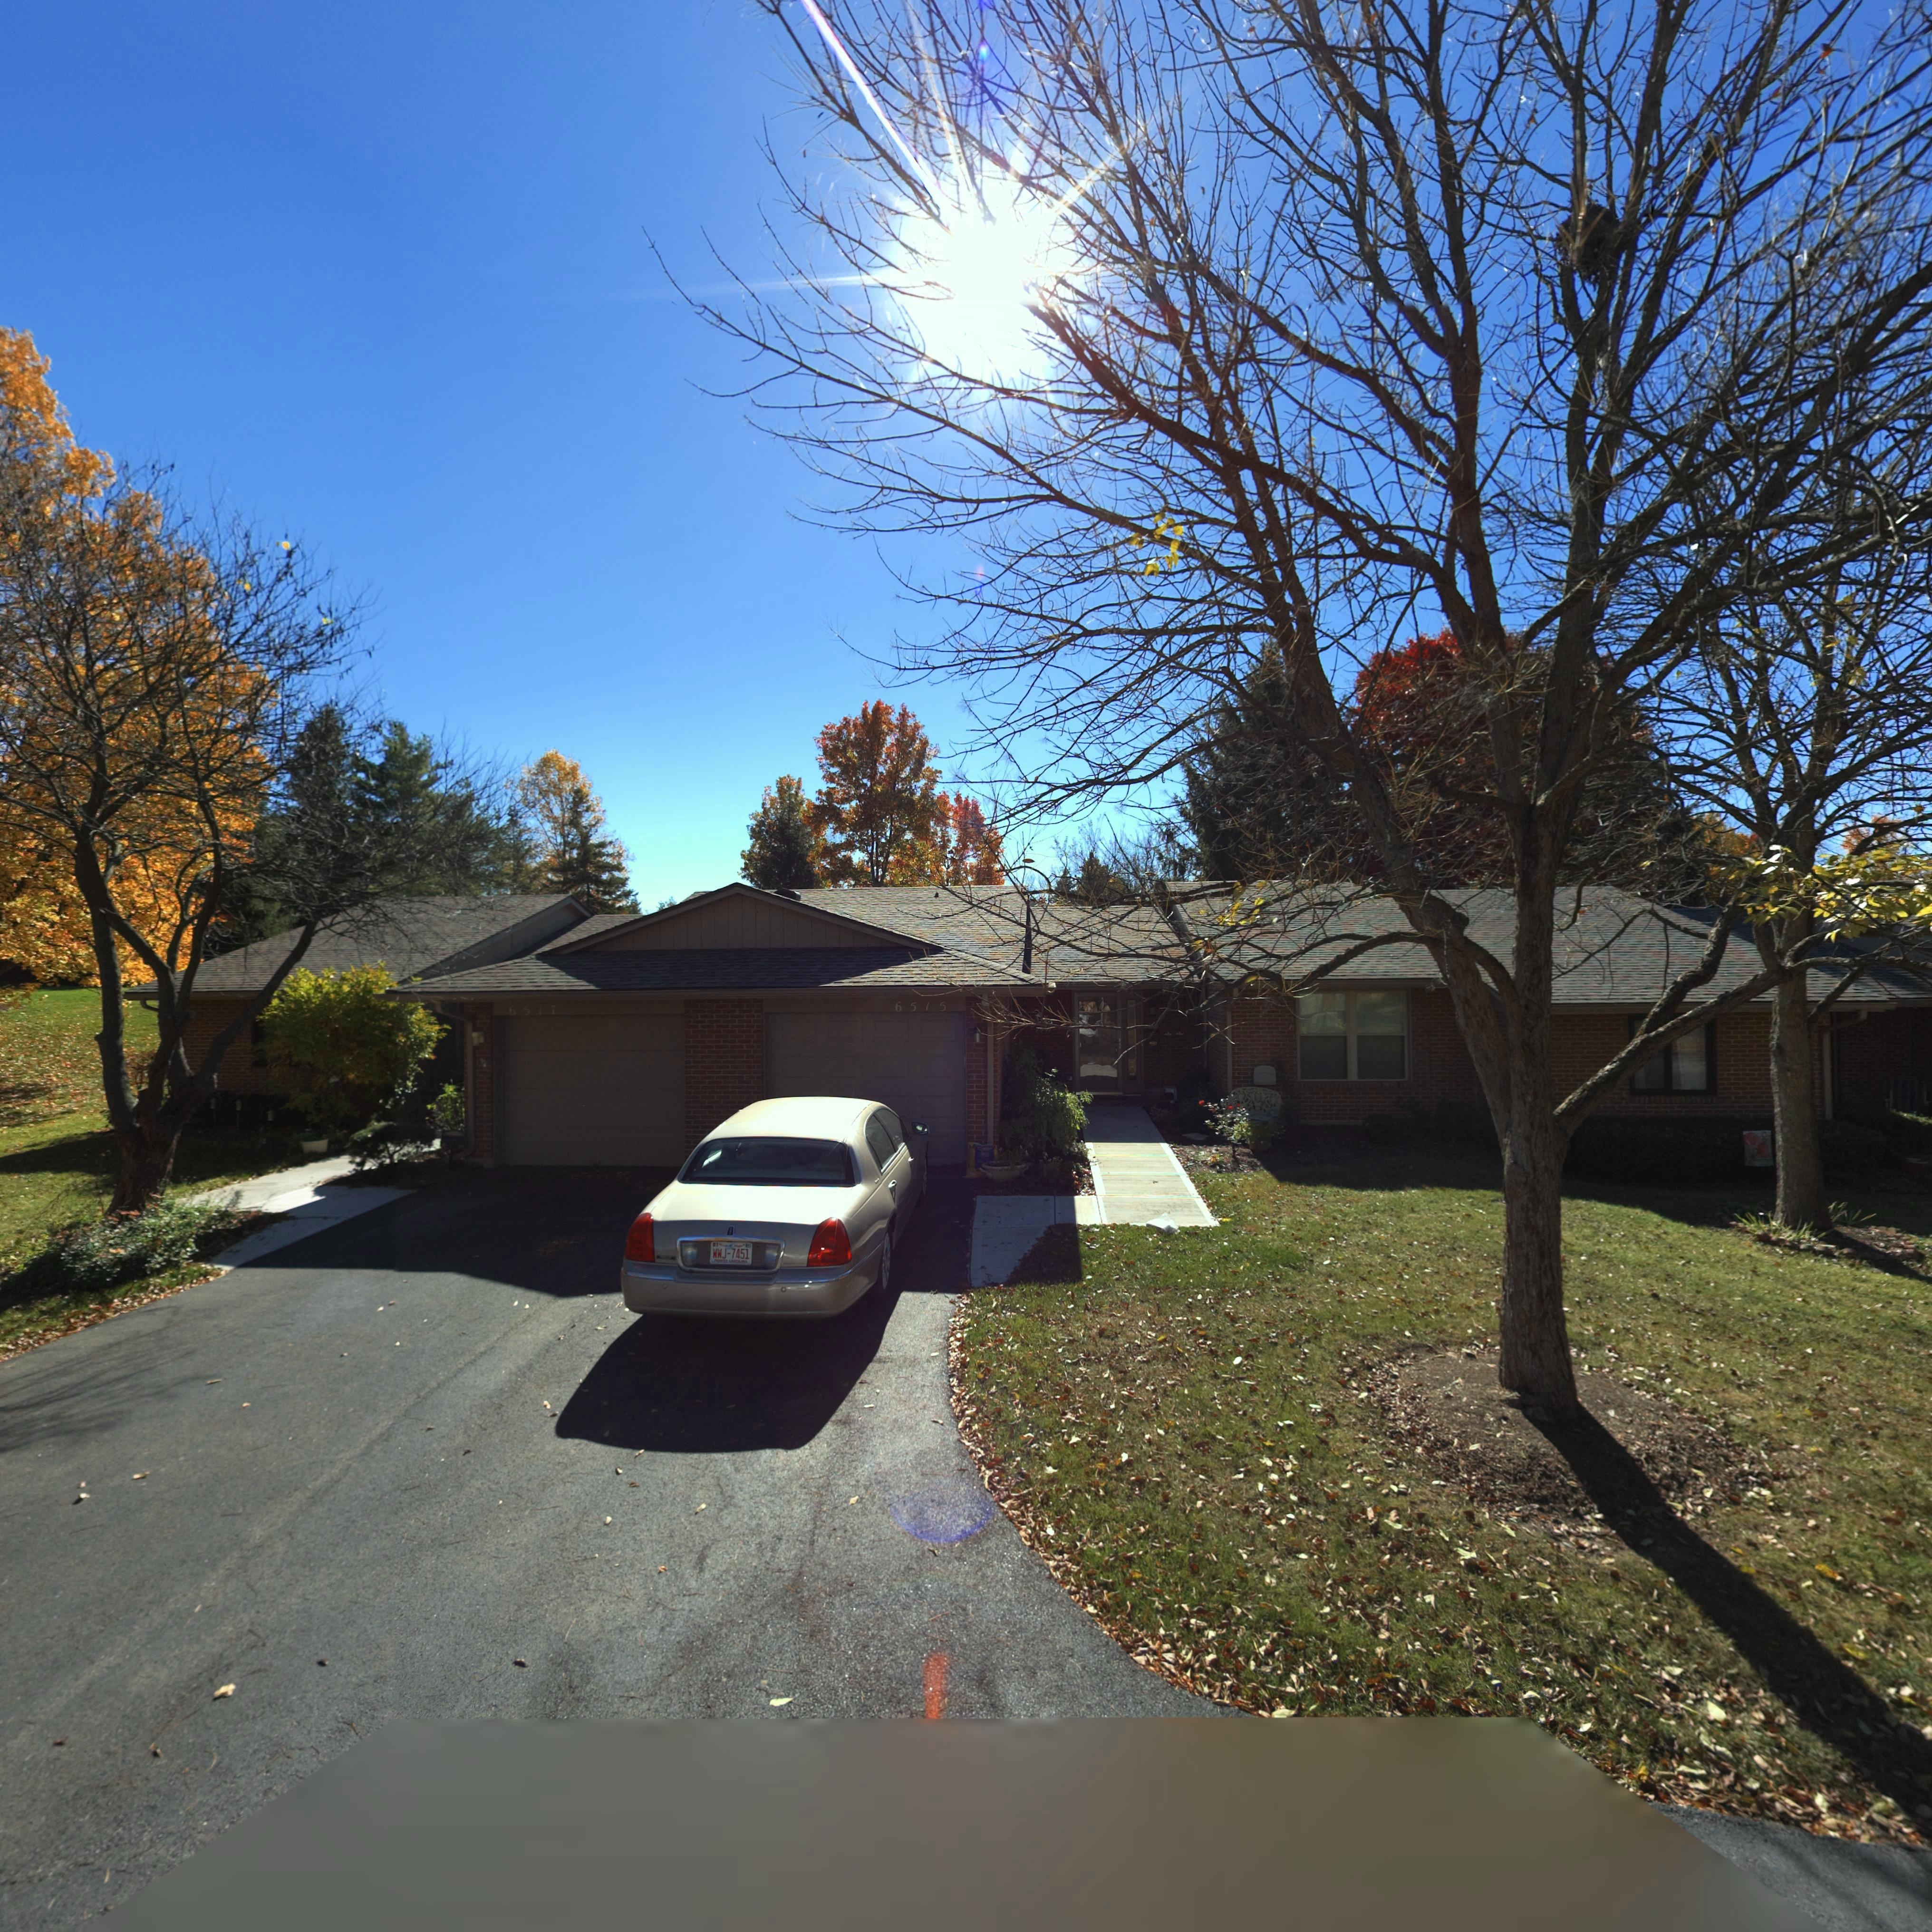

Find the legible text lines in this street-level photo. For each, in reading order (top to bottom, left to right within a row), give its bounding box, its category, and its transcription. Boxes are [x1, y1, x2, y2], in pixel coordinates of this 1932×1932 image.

[508, 1004, 557, 1016] StreetNumber: 6517
[894, 1000, 947, 1013] StreetNumber: 6515